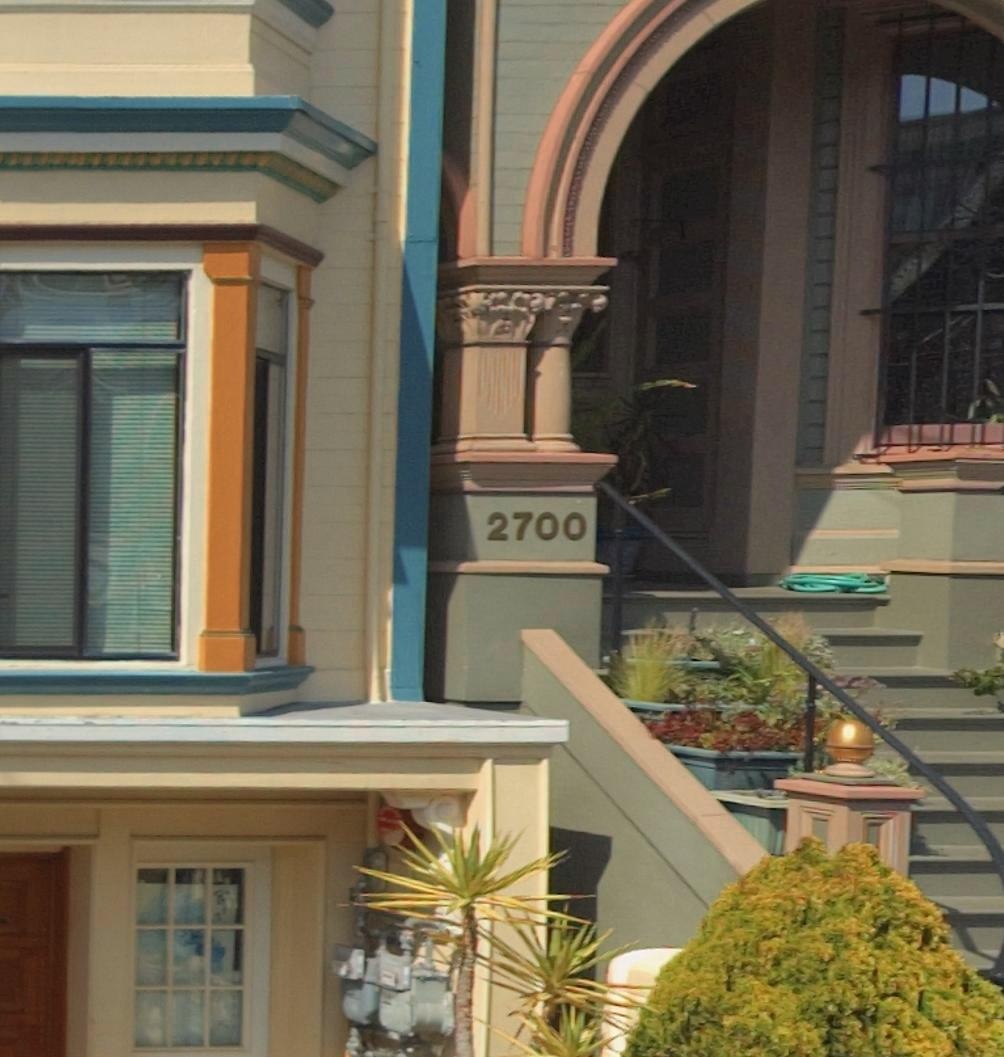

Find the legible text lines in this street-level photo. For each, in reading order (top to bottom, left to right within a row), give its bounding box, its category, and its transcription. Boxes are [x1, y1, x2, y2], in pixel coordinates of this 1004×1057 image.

[485, 509, 588, 543] StreetNumber: 2700